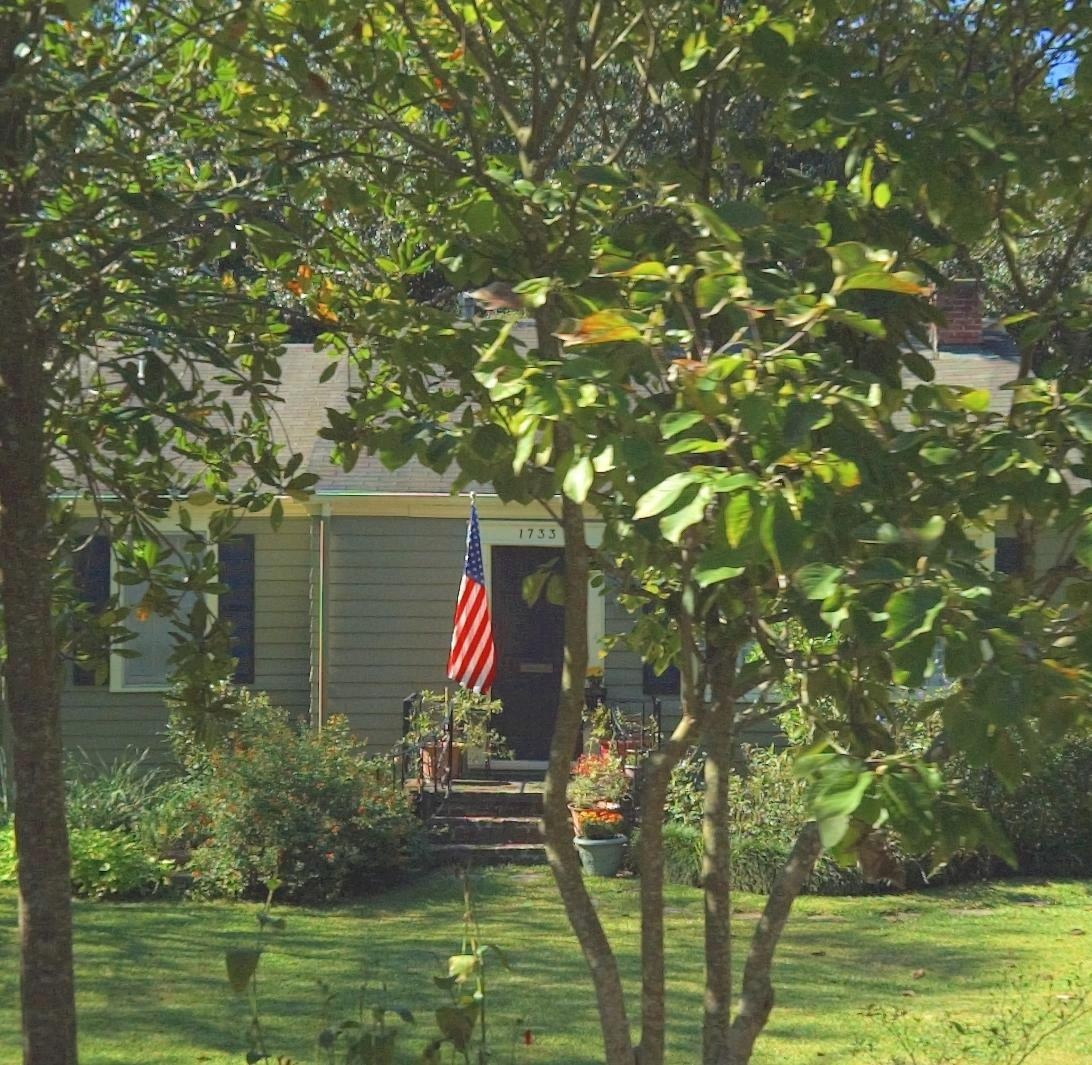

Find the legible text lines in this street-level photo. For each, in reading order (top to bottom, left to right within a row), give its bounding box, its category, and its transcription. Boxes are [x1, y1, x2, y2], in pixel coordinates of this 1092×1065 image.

[517, 526, 558, 541] StreetNumber: 1733